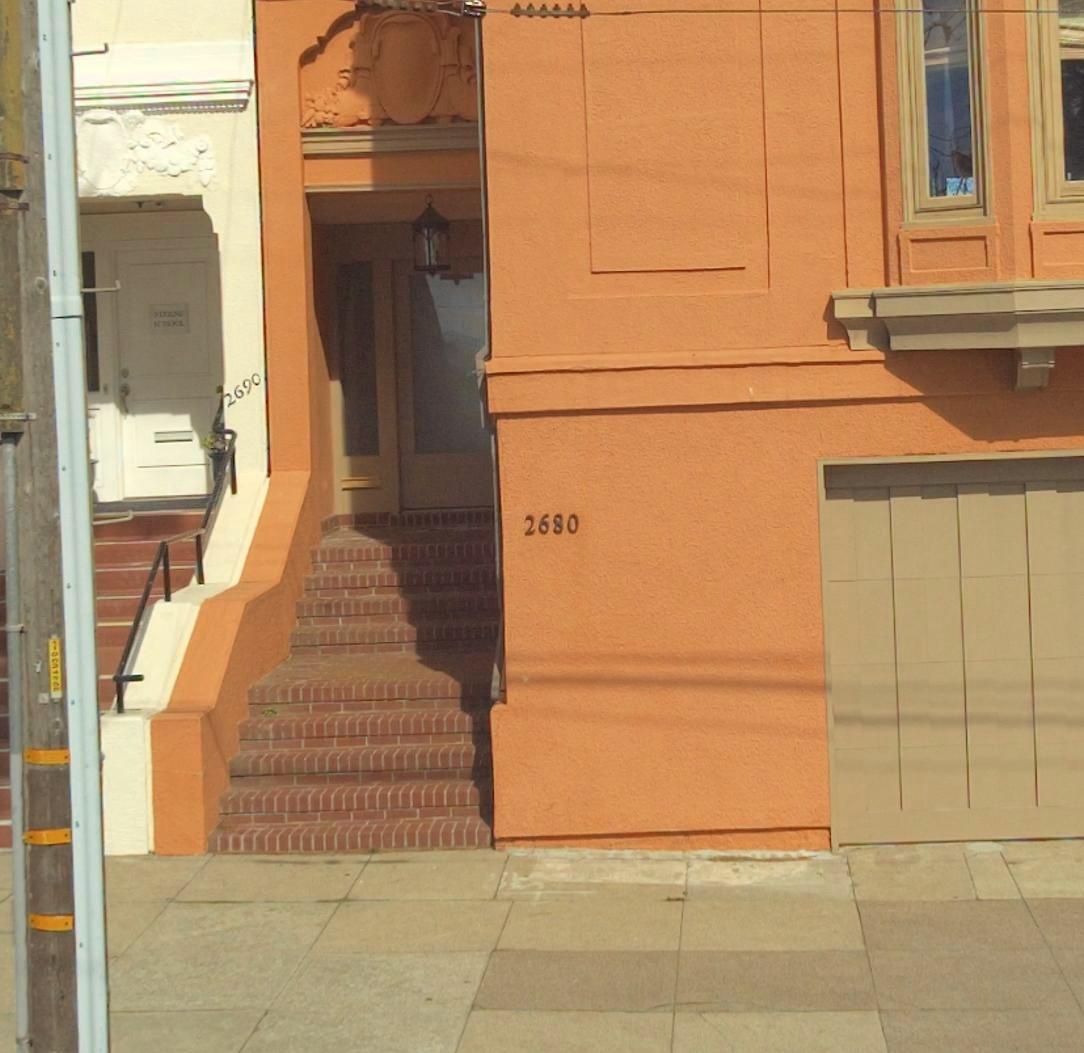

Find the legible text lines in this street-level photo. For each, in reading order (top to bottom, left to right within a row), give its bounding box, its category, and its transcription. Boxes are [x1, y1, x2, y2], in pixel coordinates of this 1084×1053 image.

[178, 318, 187, 328] None: L
[221, 369, 264, 411] StreetNumber: 2690
[522, 511, 581, 537] StreetNumber: 2680